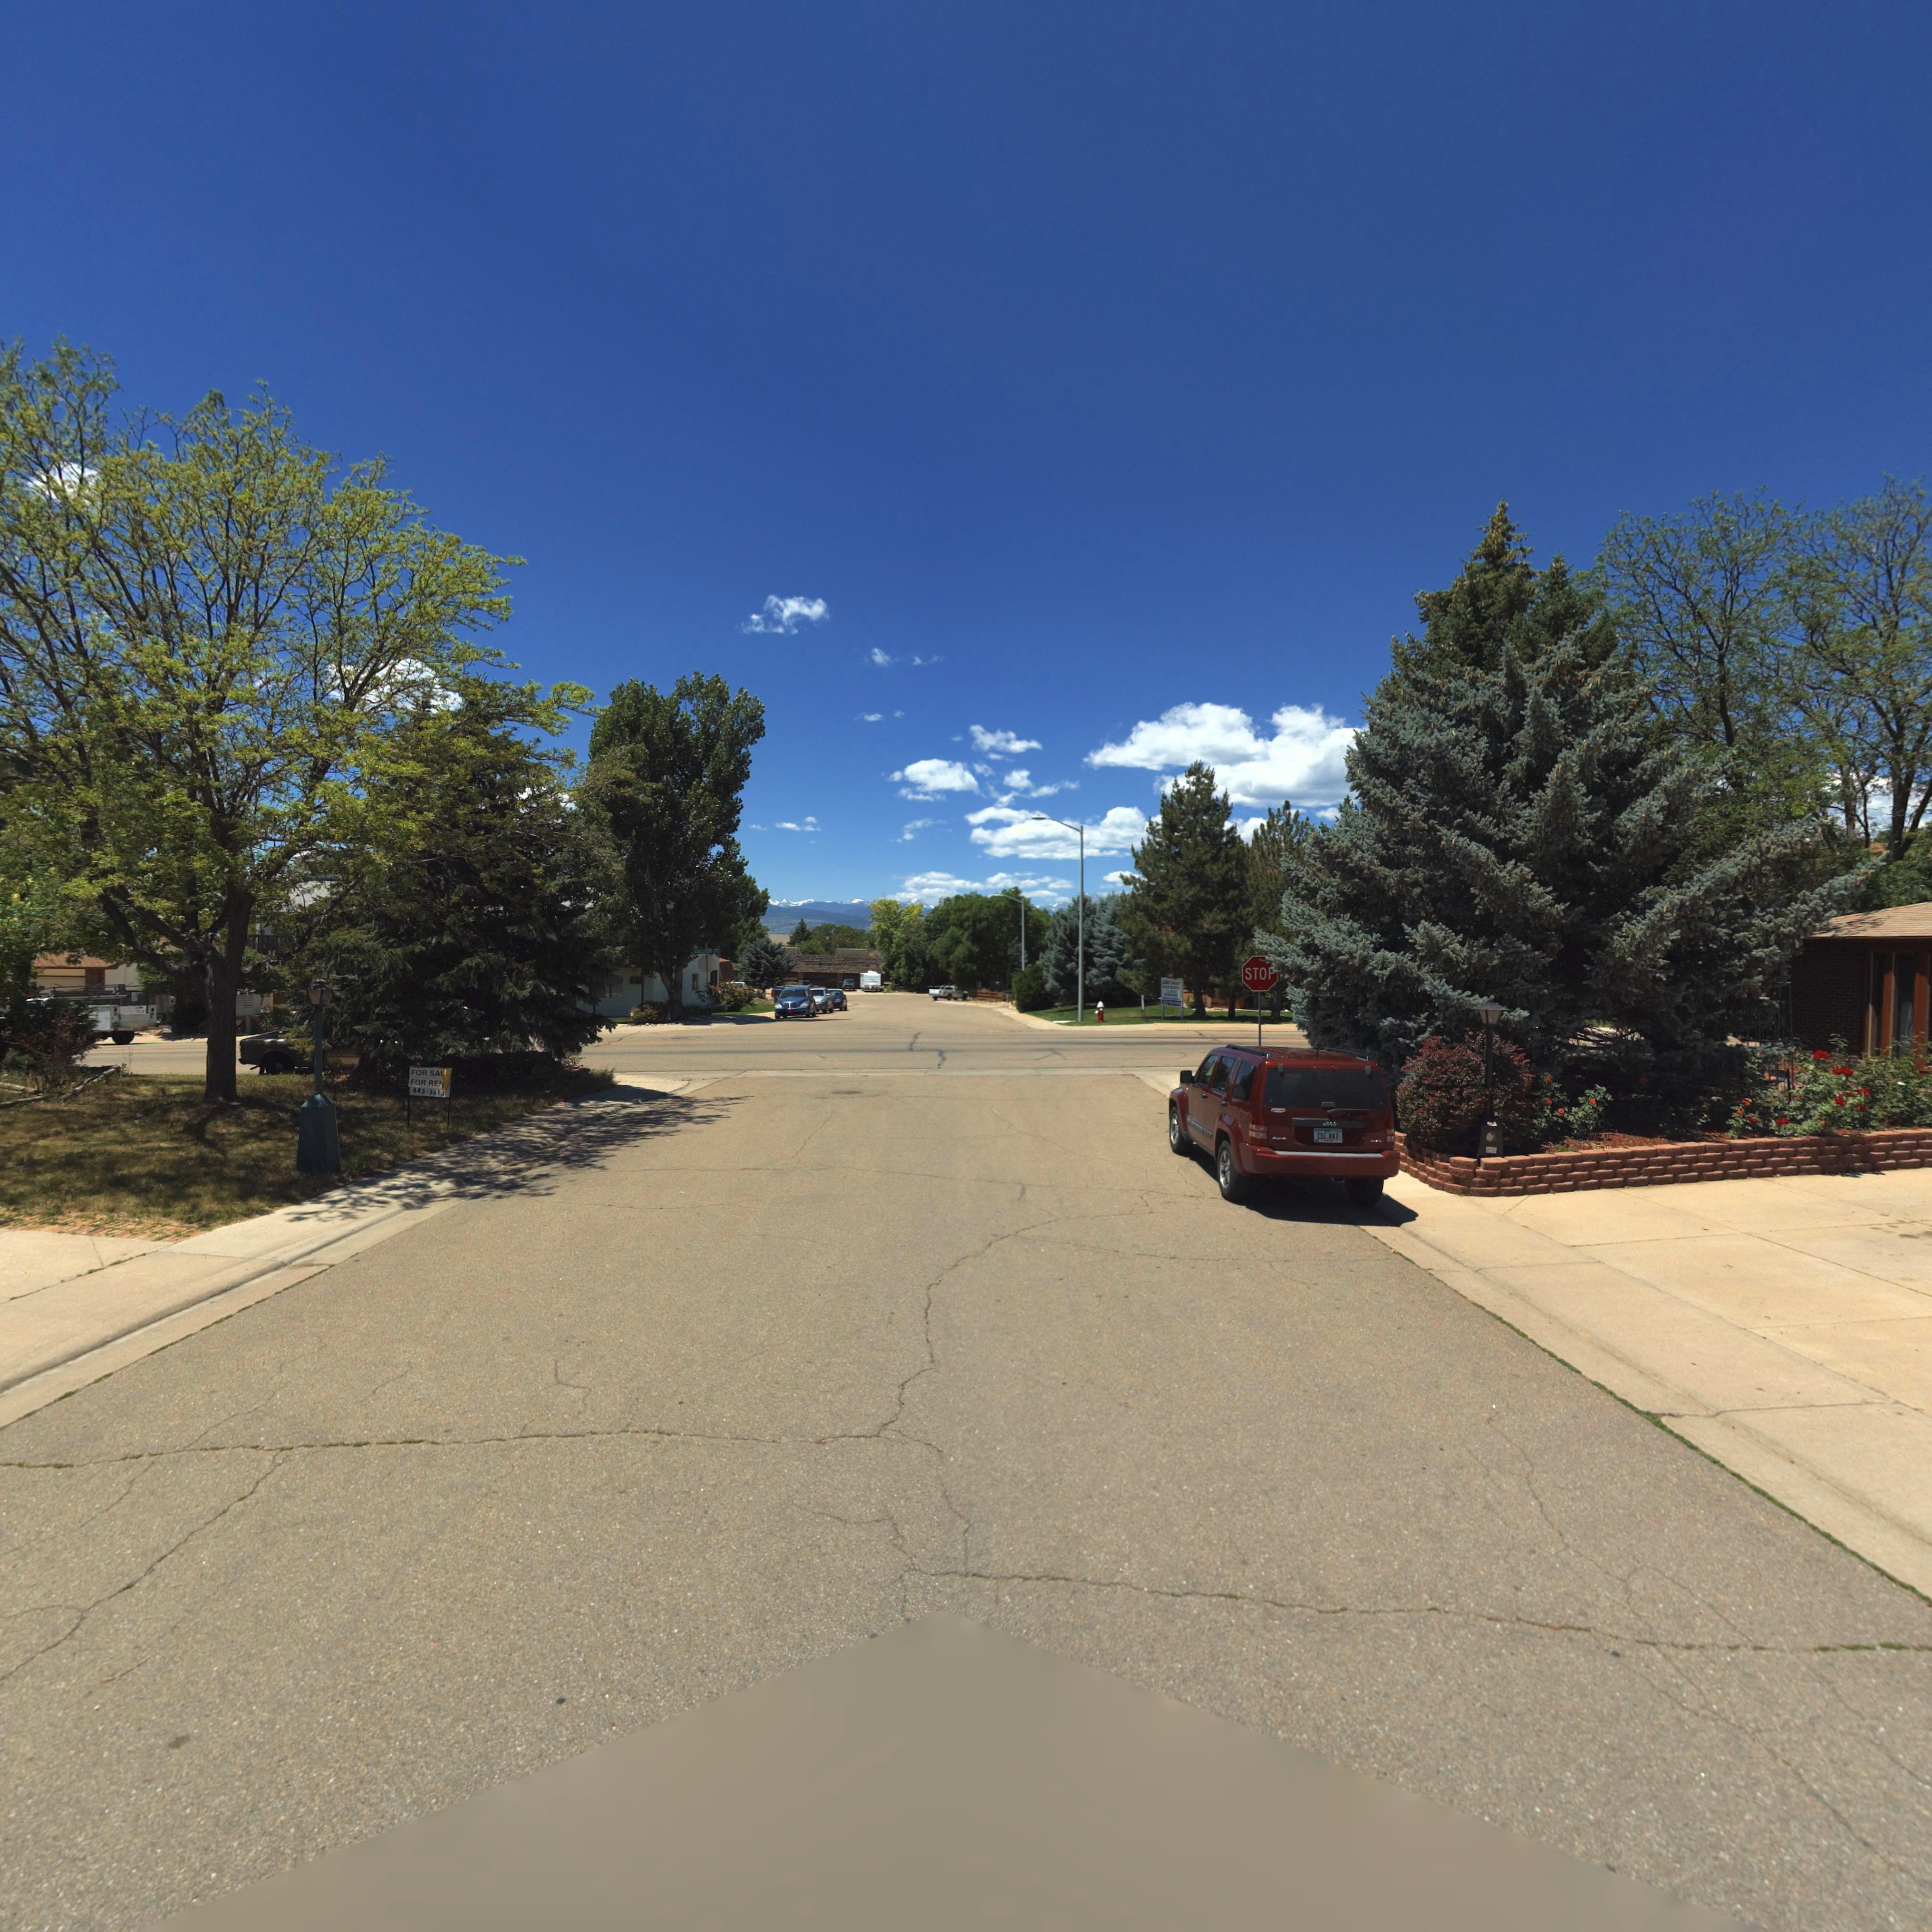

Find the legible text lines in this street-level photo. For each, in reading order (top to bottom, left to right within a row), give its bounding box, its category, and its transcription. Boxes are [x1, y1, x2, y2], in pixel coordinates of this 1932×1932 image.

[694, 948, 719, 953] StreetName: COLLYER ST